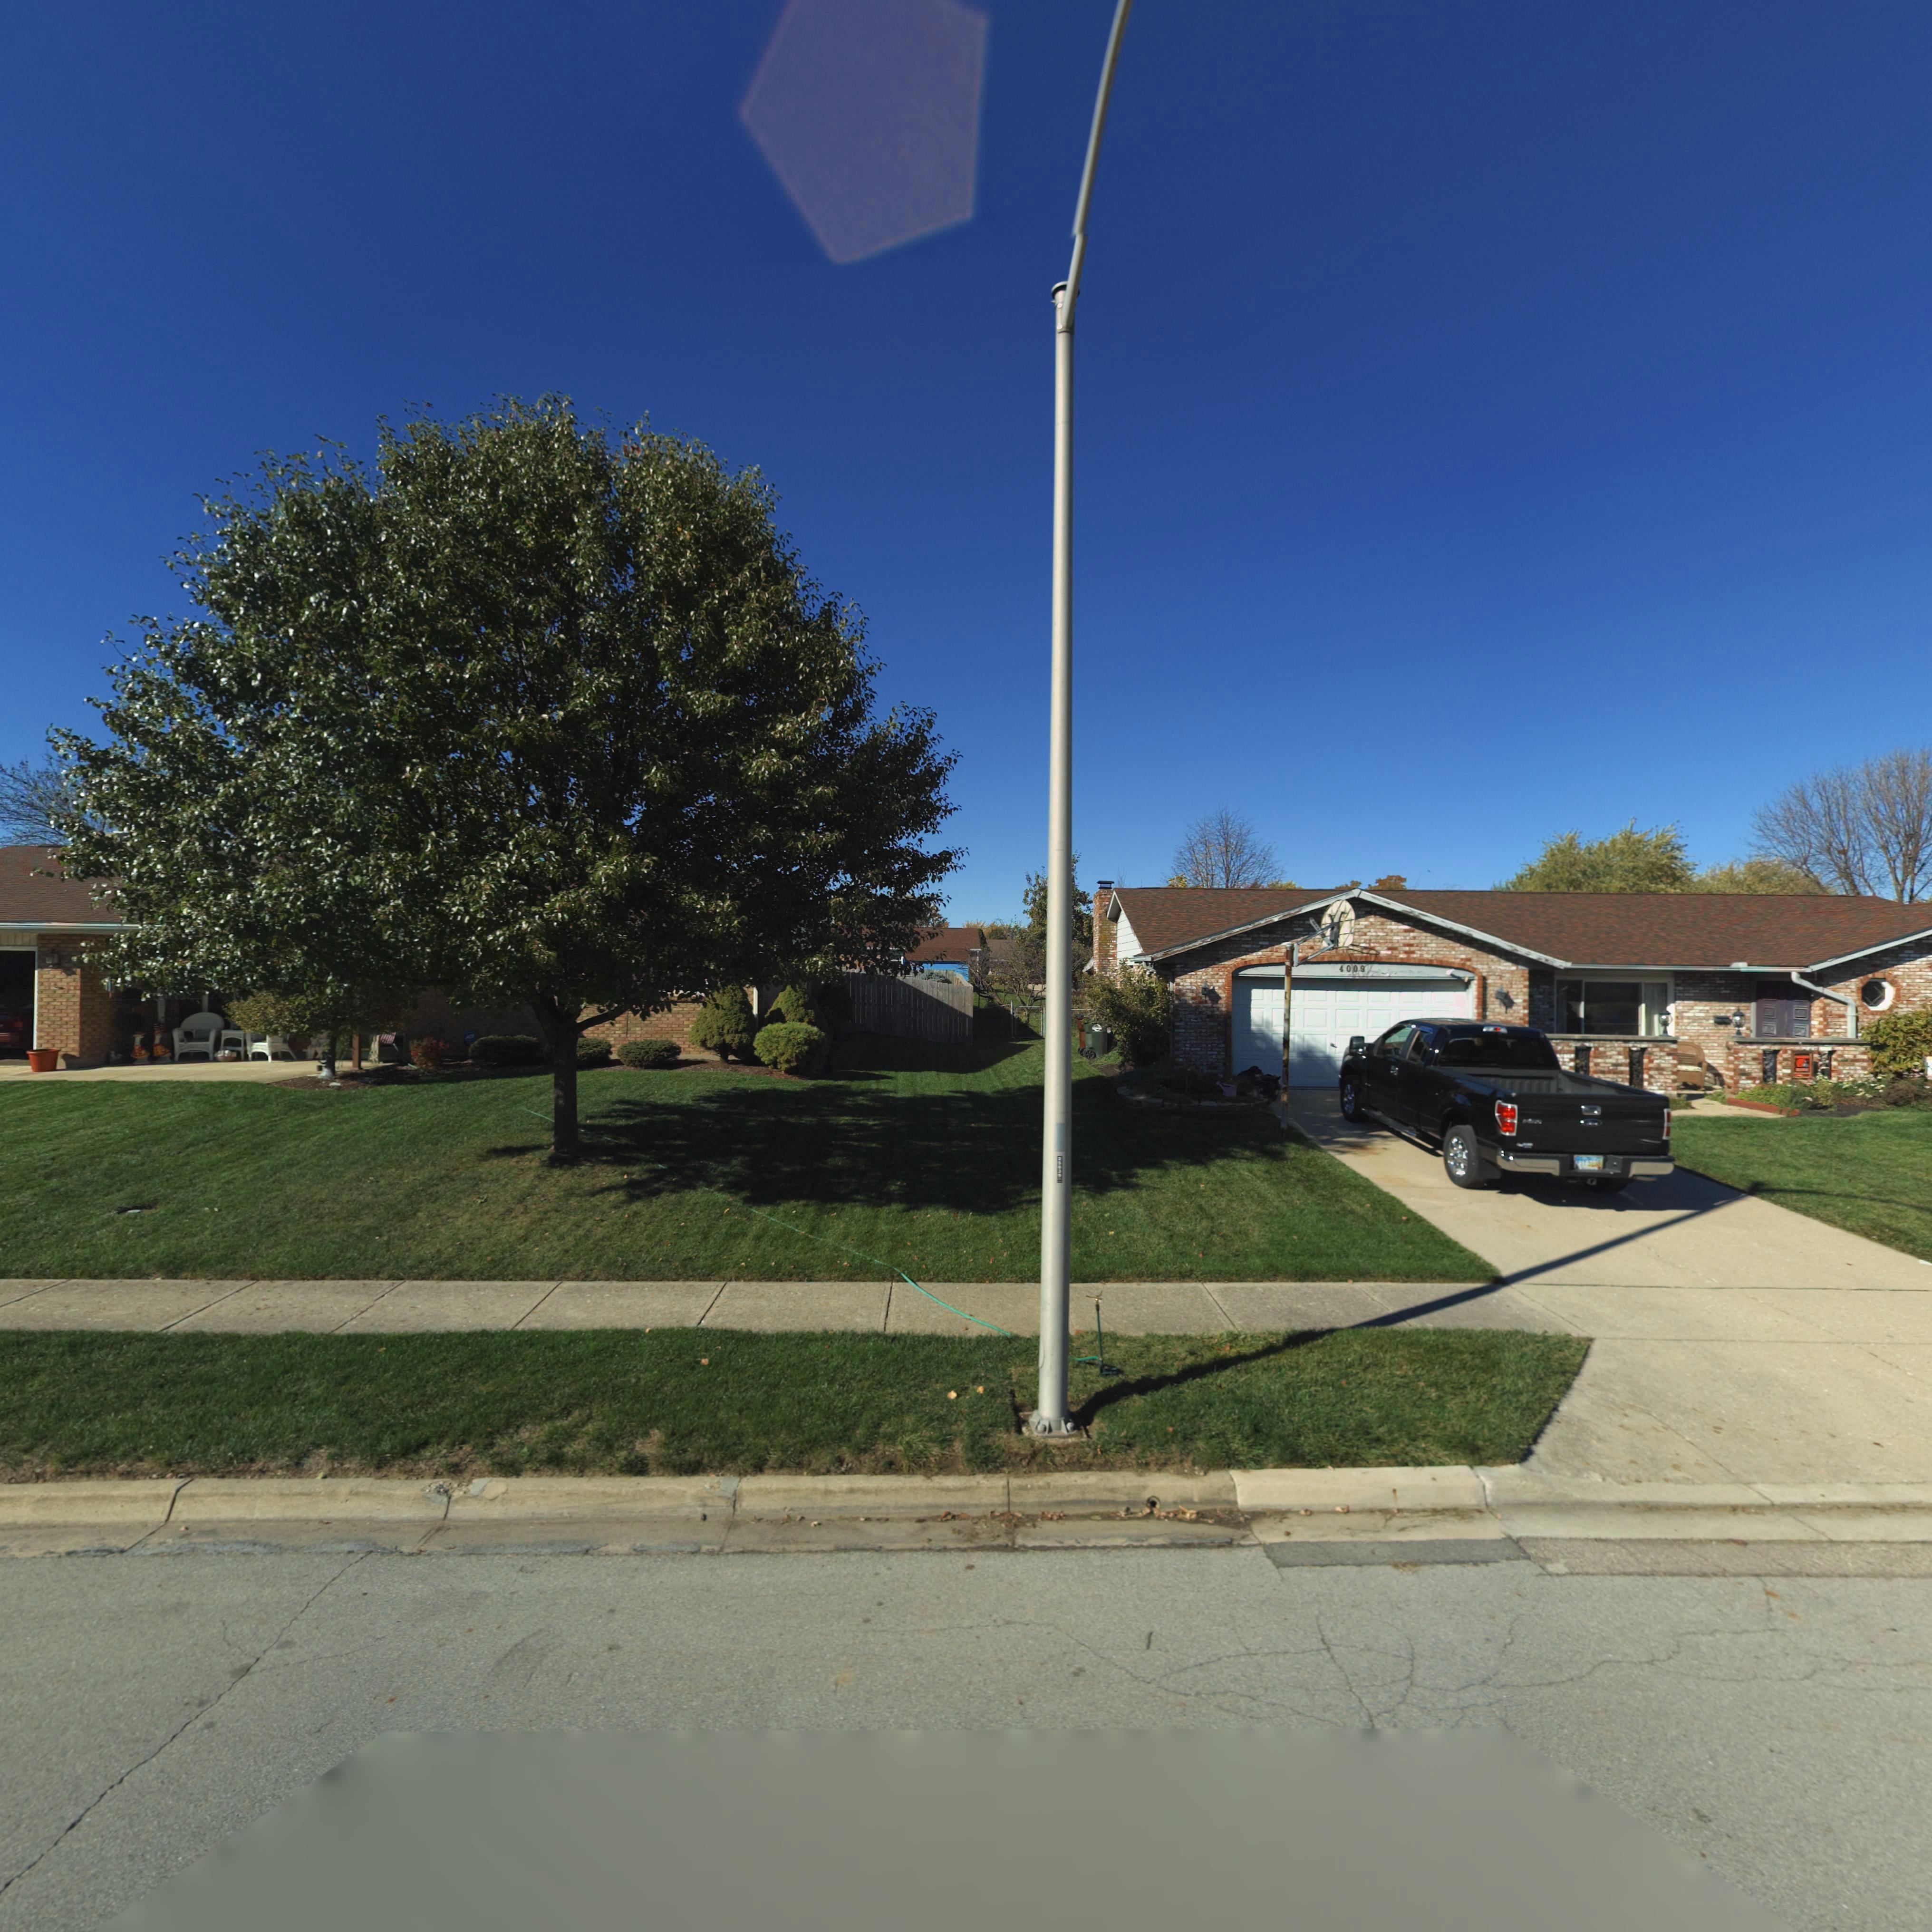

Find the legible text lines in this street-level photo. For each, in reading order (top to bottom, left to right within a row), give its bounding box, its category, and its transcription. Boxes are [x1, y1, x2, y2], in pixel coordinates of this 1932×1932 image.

[1339, 965, 1365, 973] StreetNumber: 4009